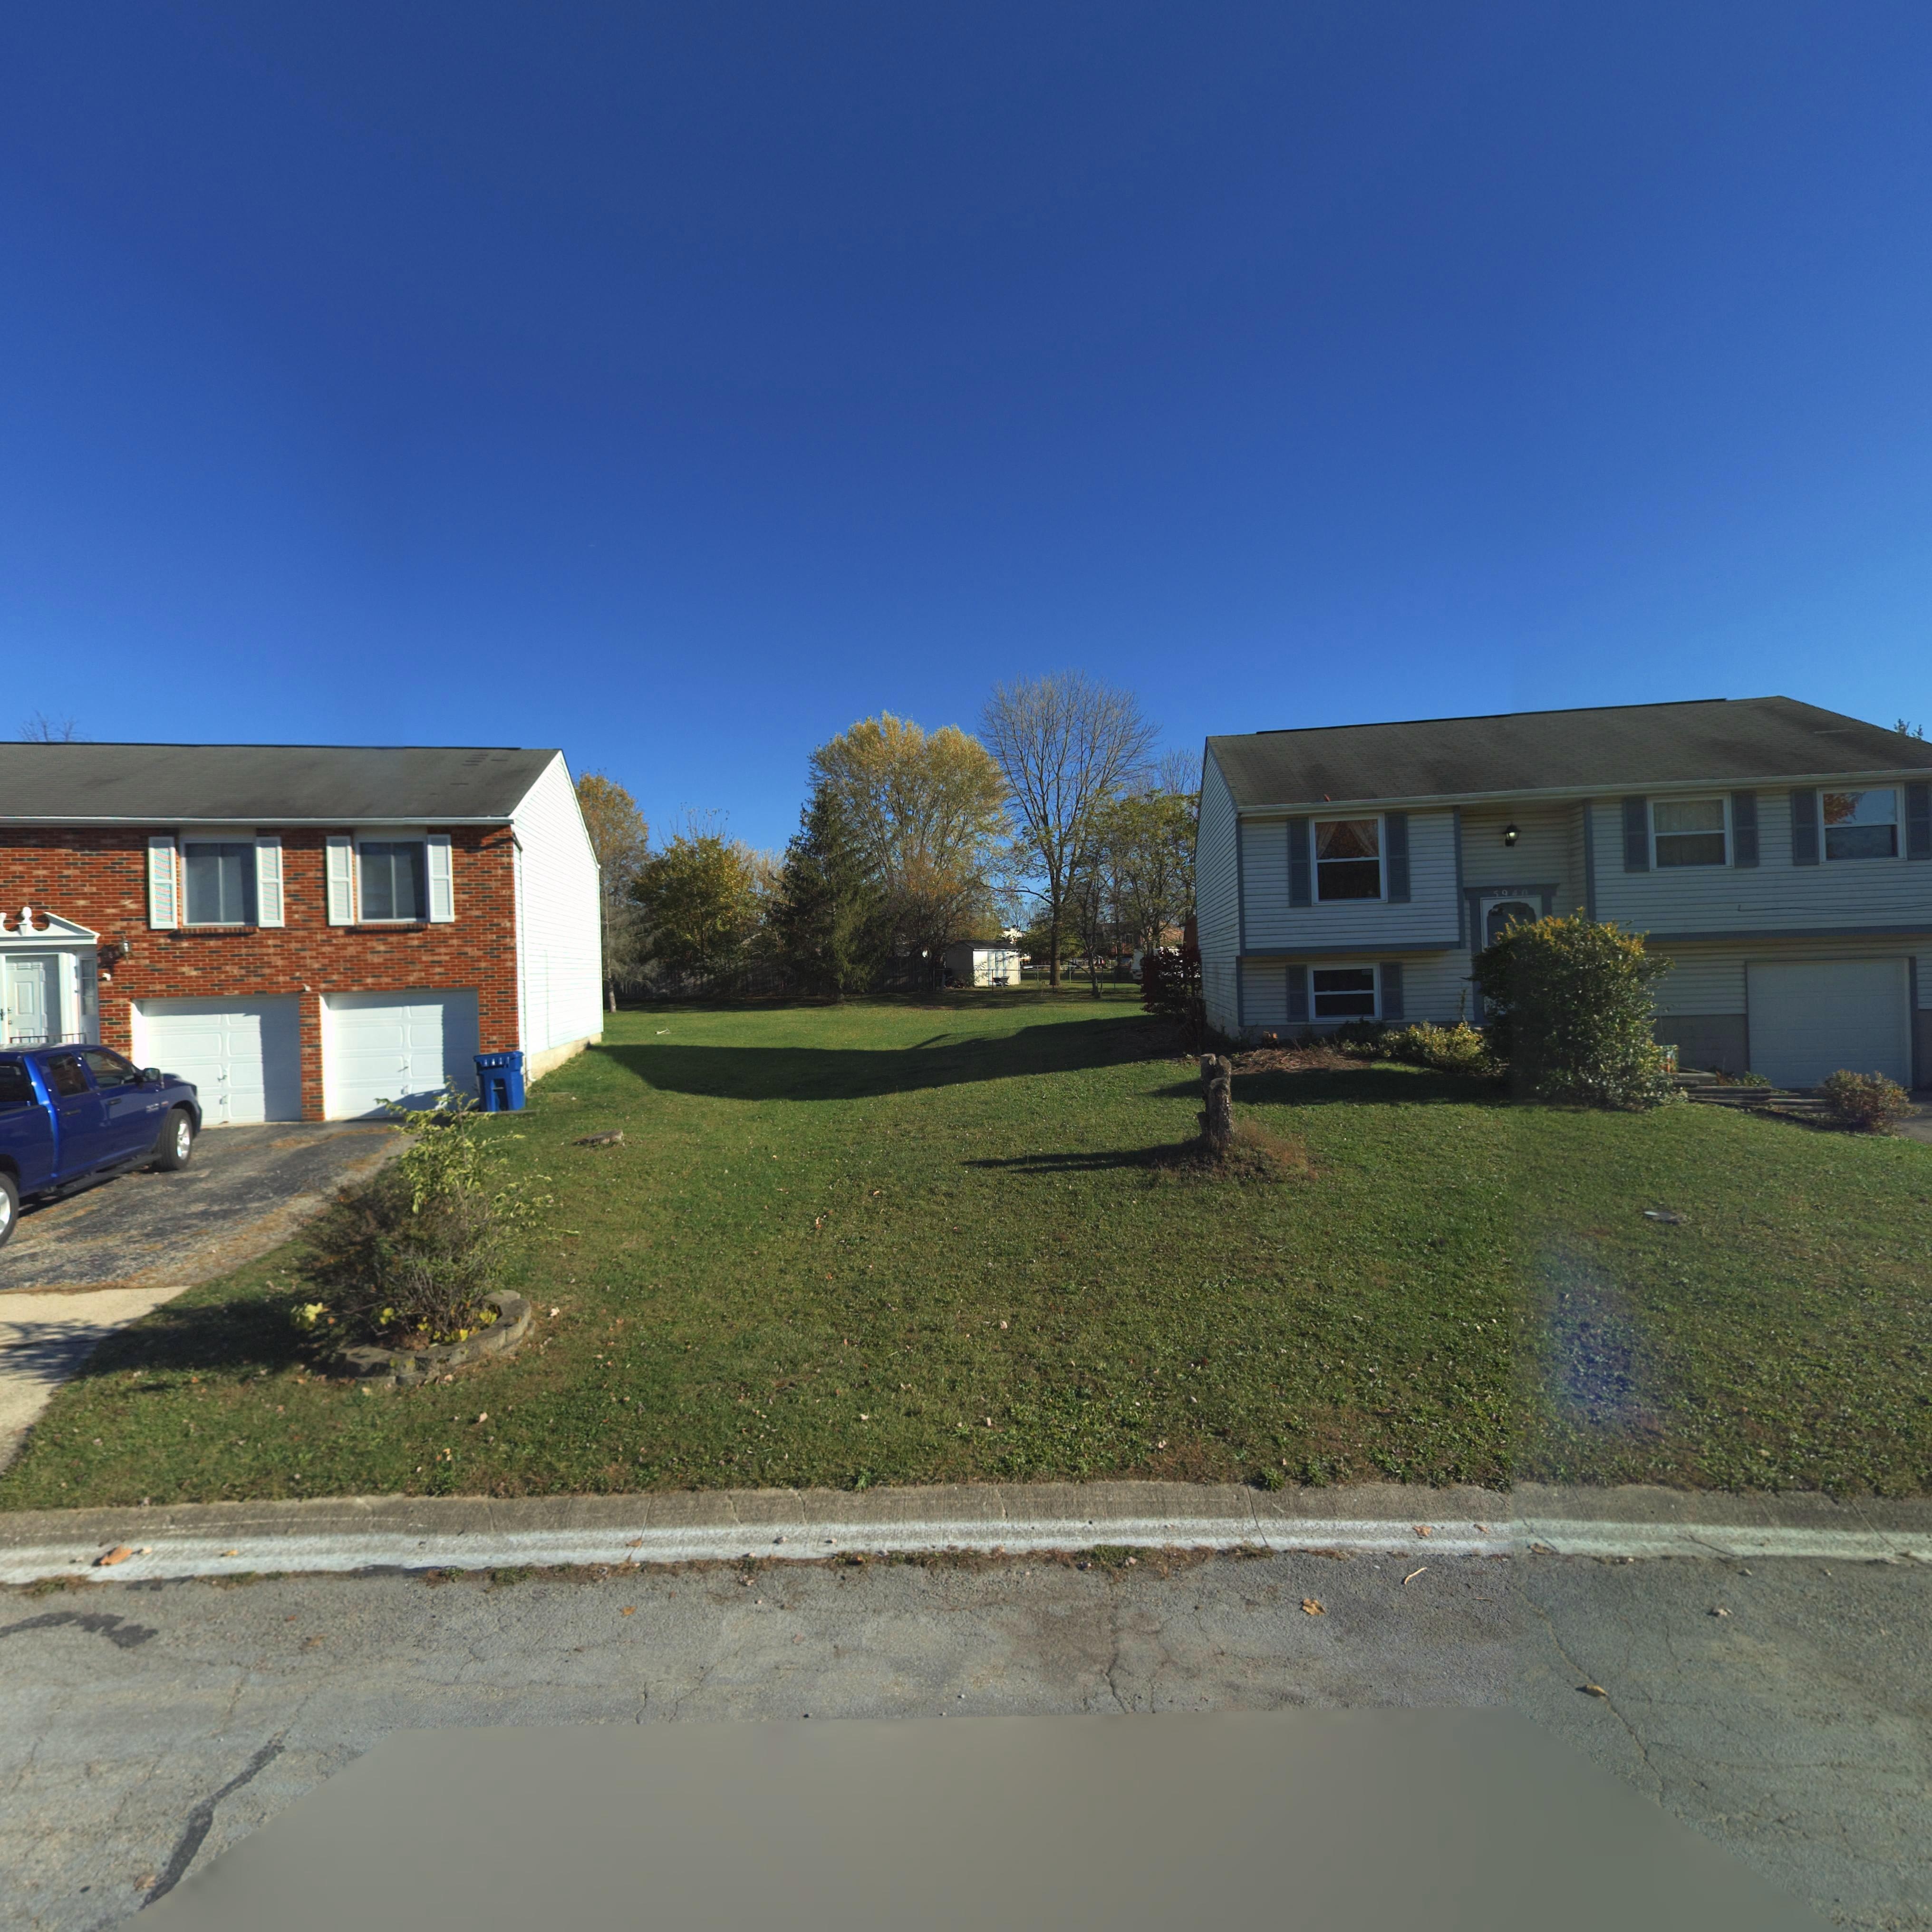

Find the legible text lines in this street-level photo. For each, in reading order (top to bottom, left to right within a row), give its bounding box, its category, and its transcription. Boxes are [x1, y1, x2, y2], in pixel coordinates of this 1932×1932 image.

[1492, 887, 1529, 900] StreetNumber: 5940